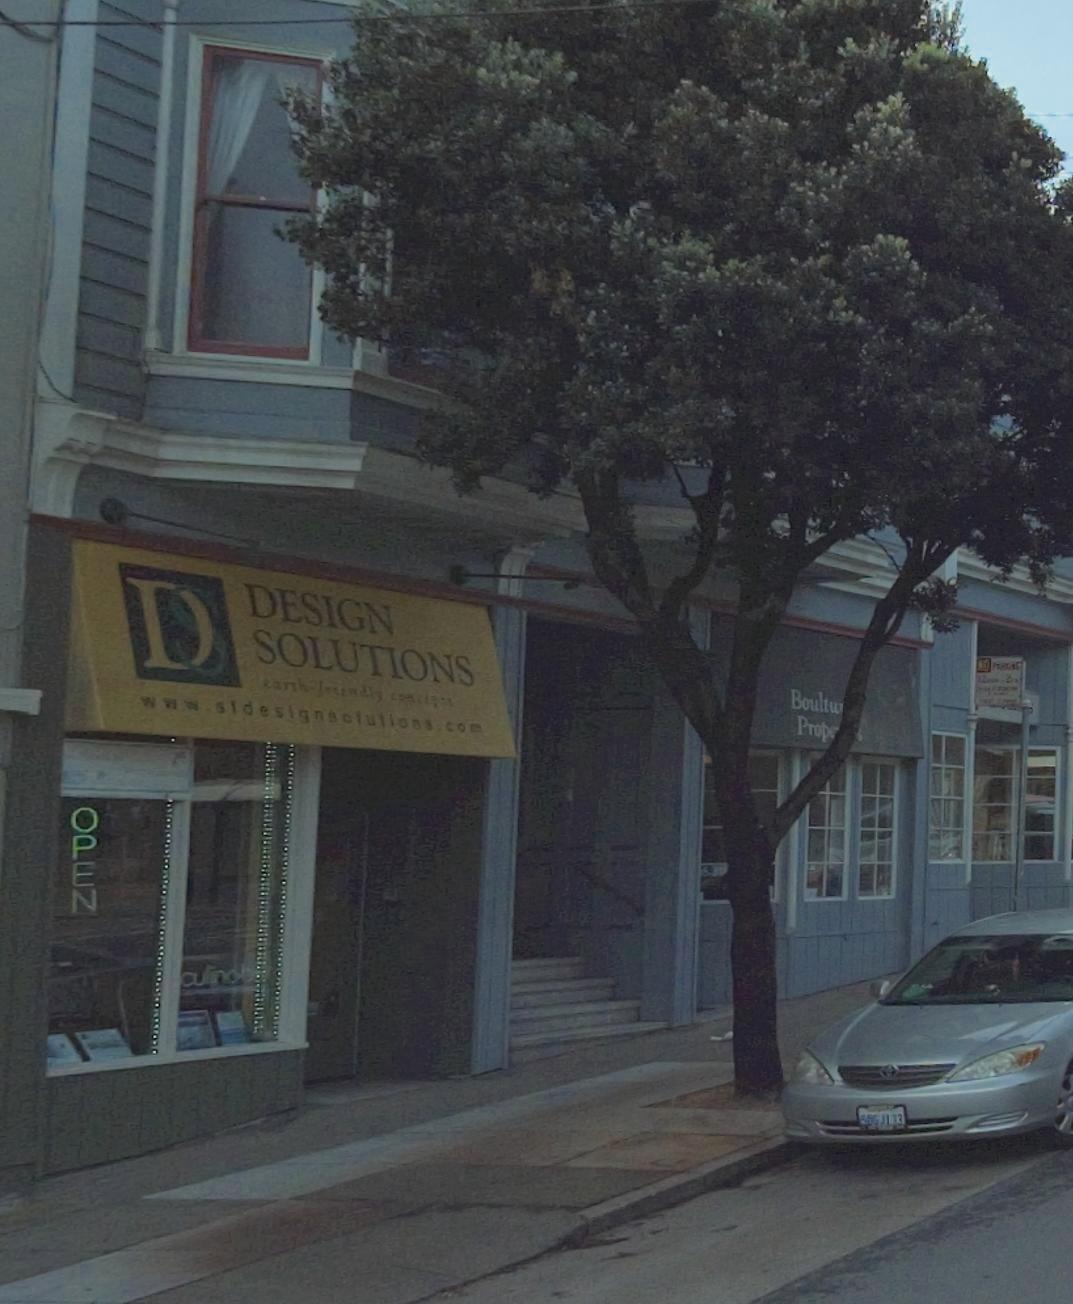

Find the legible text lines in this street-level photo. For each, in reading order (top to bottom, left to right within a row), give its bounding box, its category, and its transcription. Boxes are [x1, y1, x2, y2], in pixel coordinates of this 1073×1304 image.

[124, 573, 236, 680] None: DS
[241, 580, 397, 637] BusinessName: DESIGN
[252, 628, 479, 690] BusinessName: SOLUTIONS
[976, 657, 991, 673] None: NO
[137, 693, 486, 736] None: www.sldesignsolutions.com
[789, 687, 839, 717] BusinessName: Boultw
[795, 714, 833, 744] BusinessName: Prop
[69, 805, 100, 915] None: OPEN
[181, 970, 206, 989] None: cu